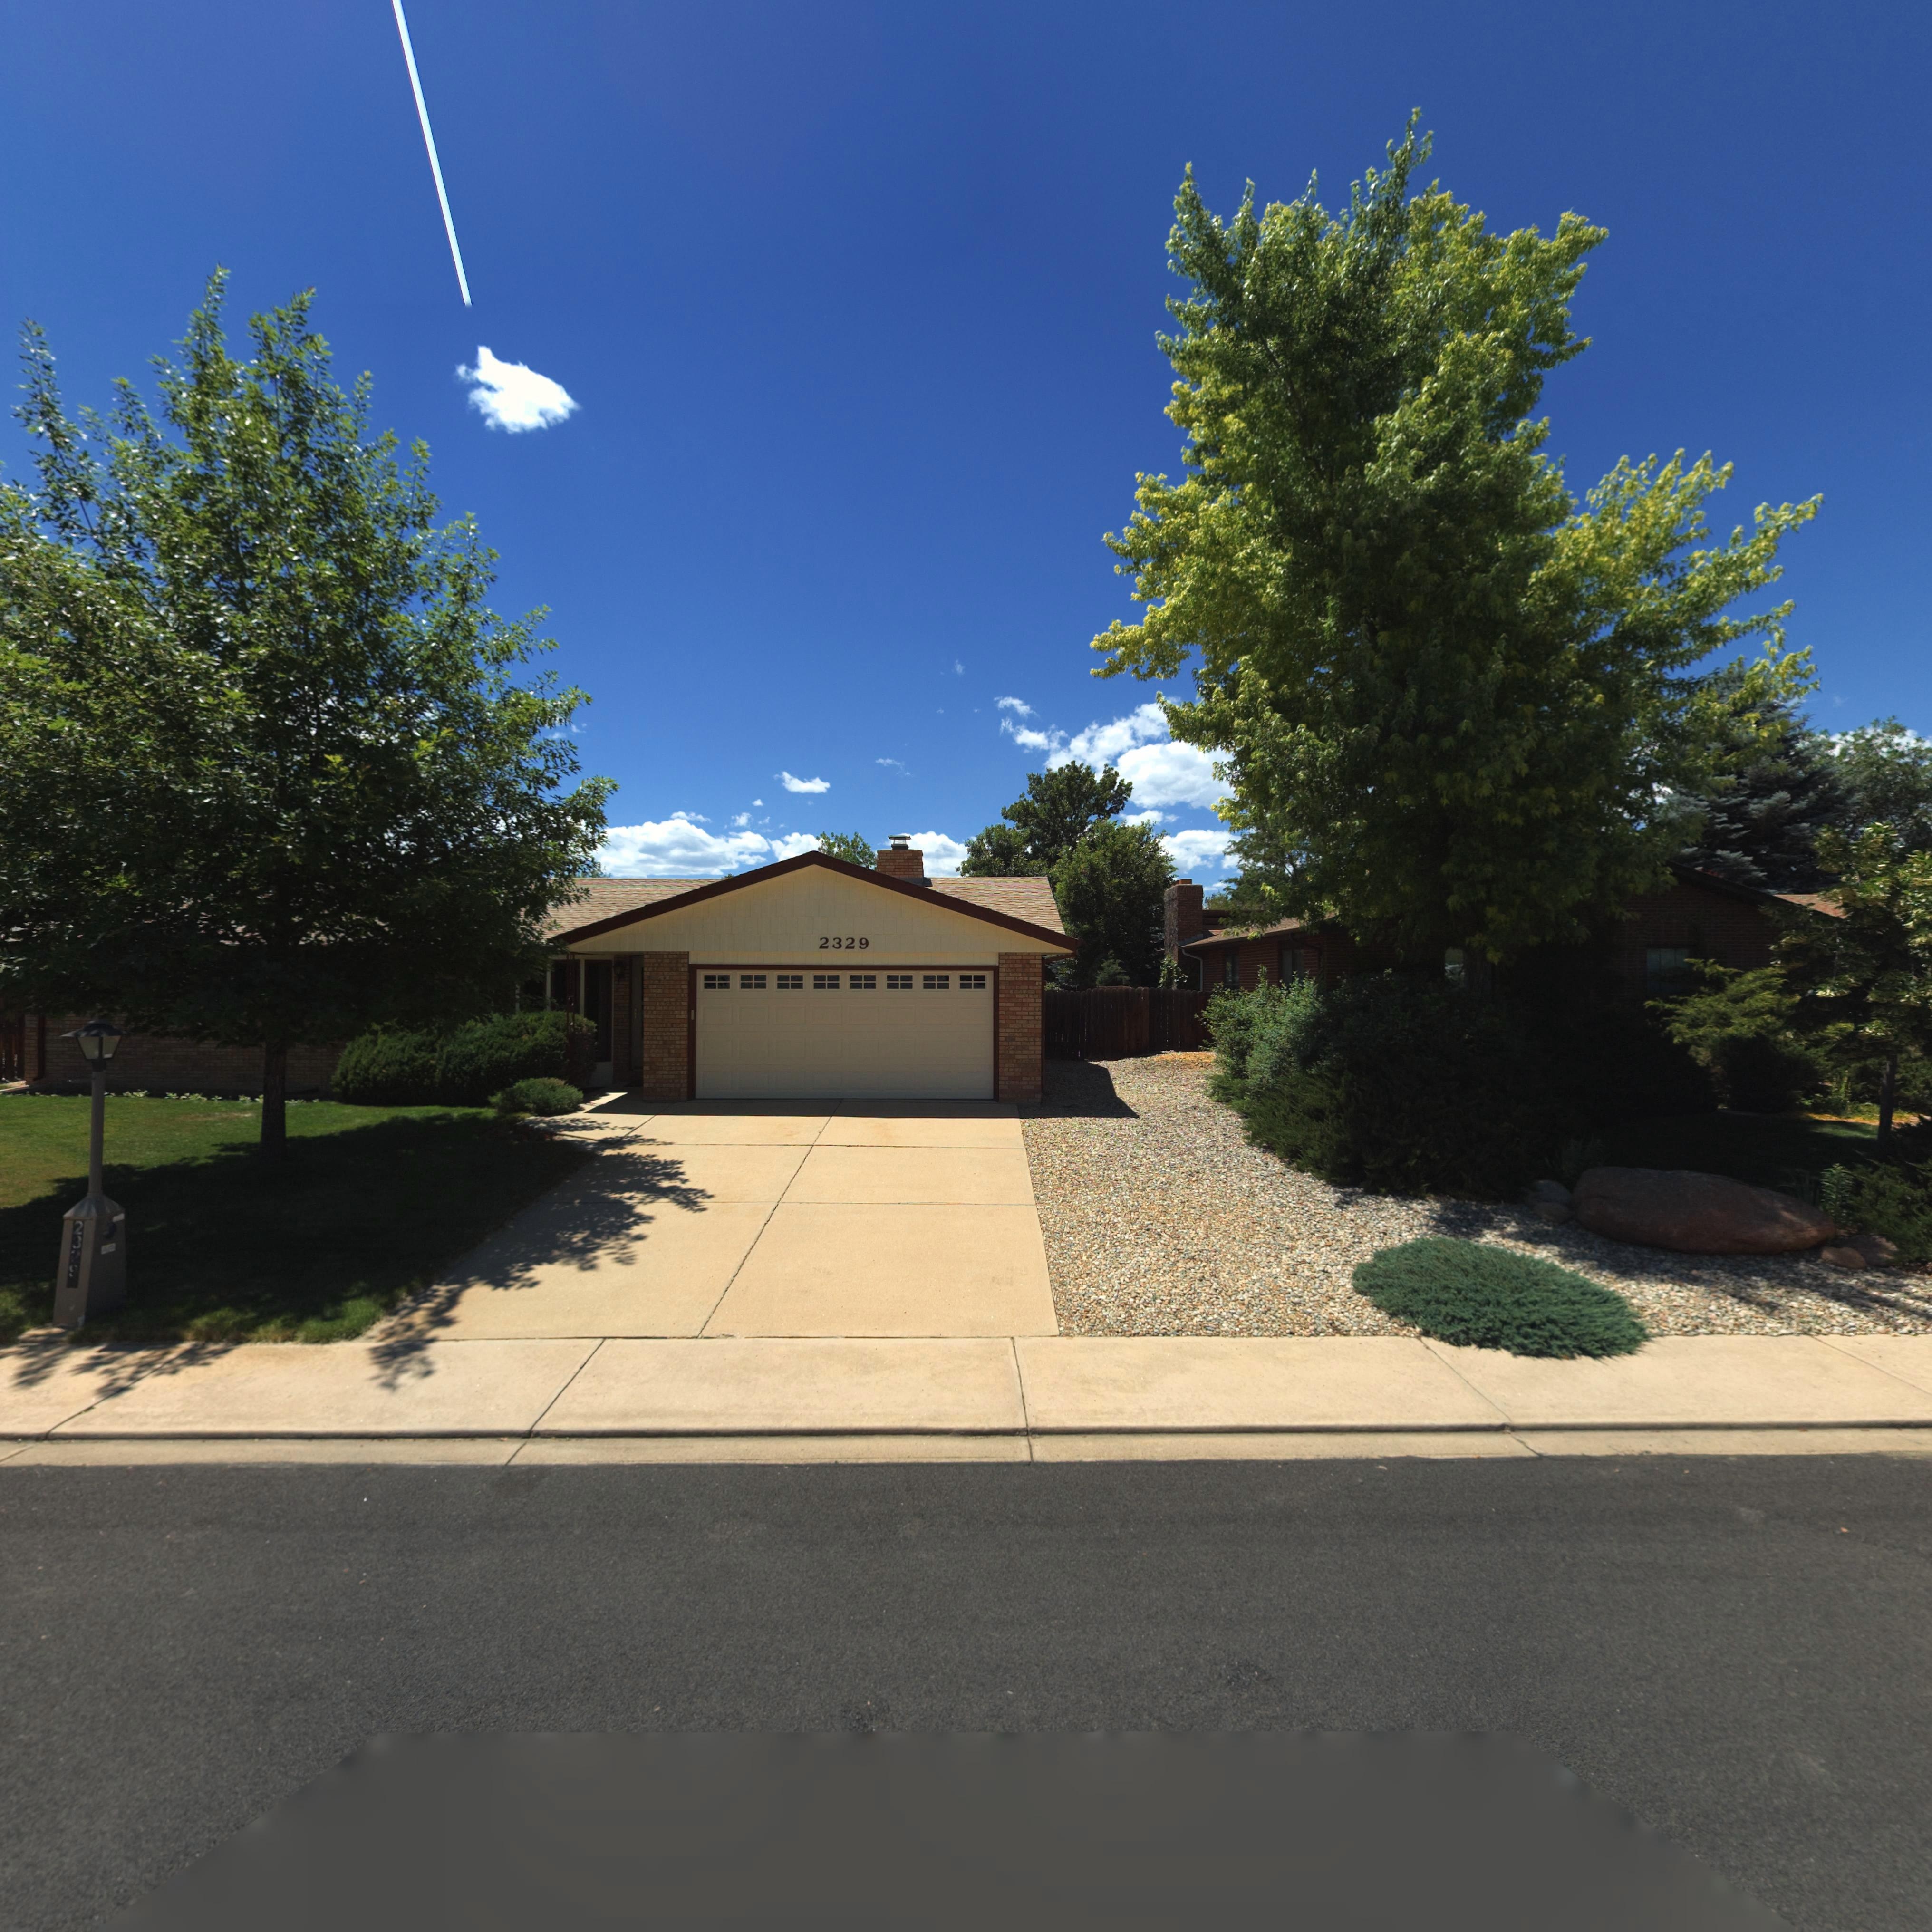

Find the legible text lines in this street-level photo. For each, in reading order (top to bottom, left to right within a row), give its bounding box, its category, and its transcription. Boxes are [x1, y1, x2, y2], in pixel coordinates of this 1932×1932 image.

[819, 937, 869, 949] StreetNumber: 2329
[68, 1220, 84, 1279] StreetNumber: 2329